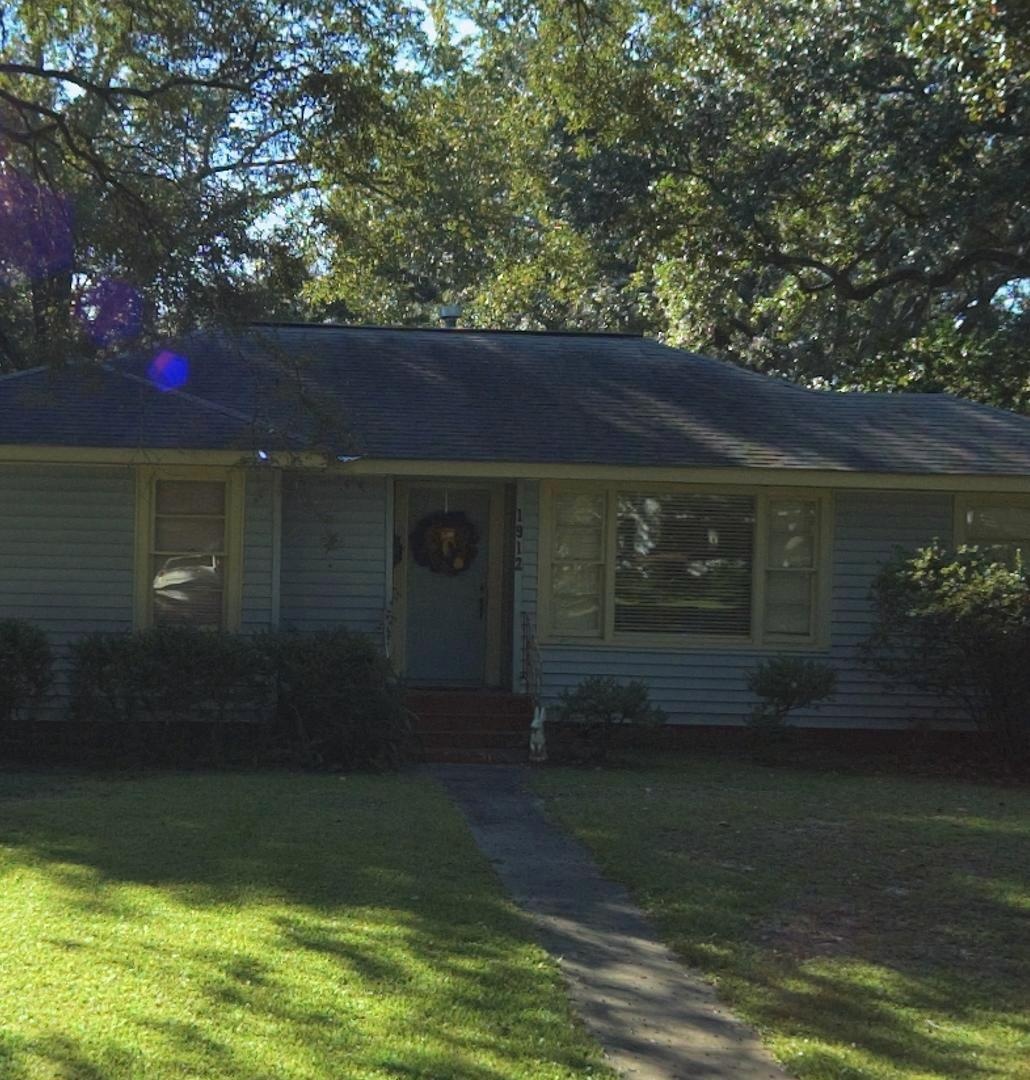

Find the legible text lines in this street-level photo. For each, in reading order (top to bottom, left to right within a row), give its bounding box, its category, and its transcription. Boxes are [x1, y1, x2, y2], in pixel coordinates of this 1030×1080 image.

[513, 506, 525, 573] StreetNumber: 1912